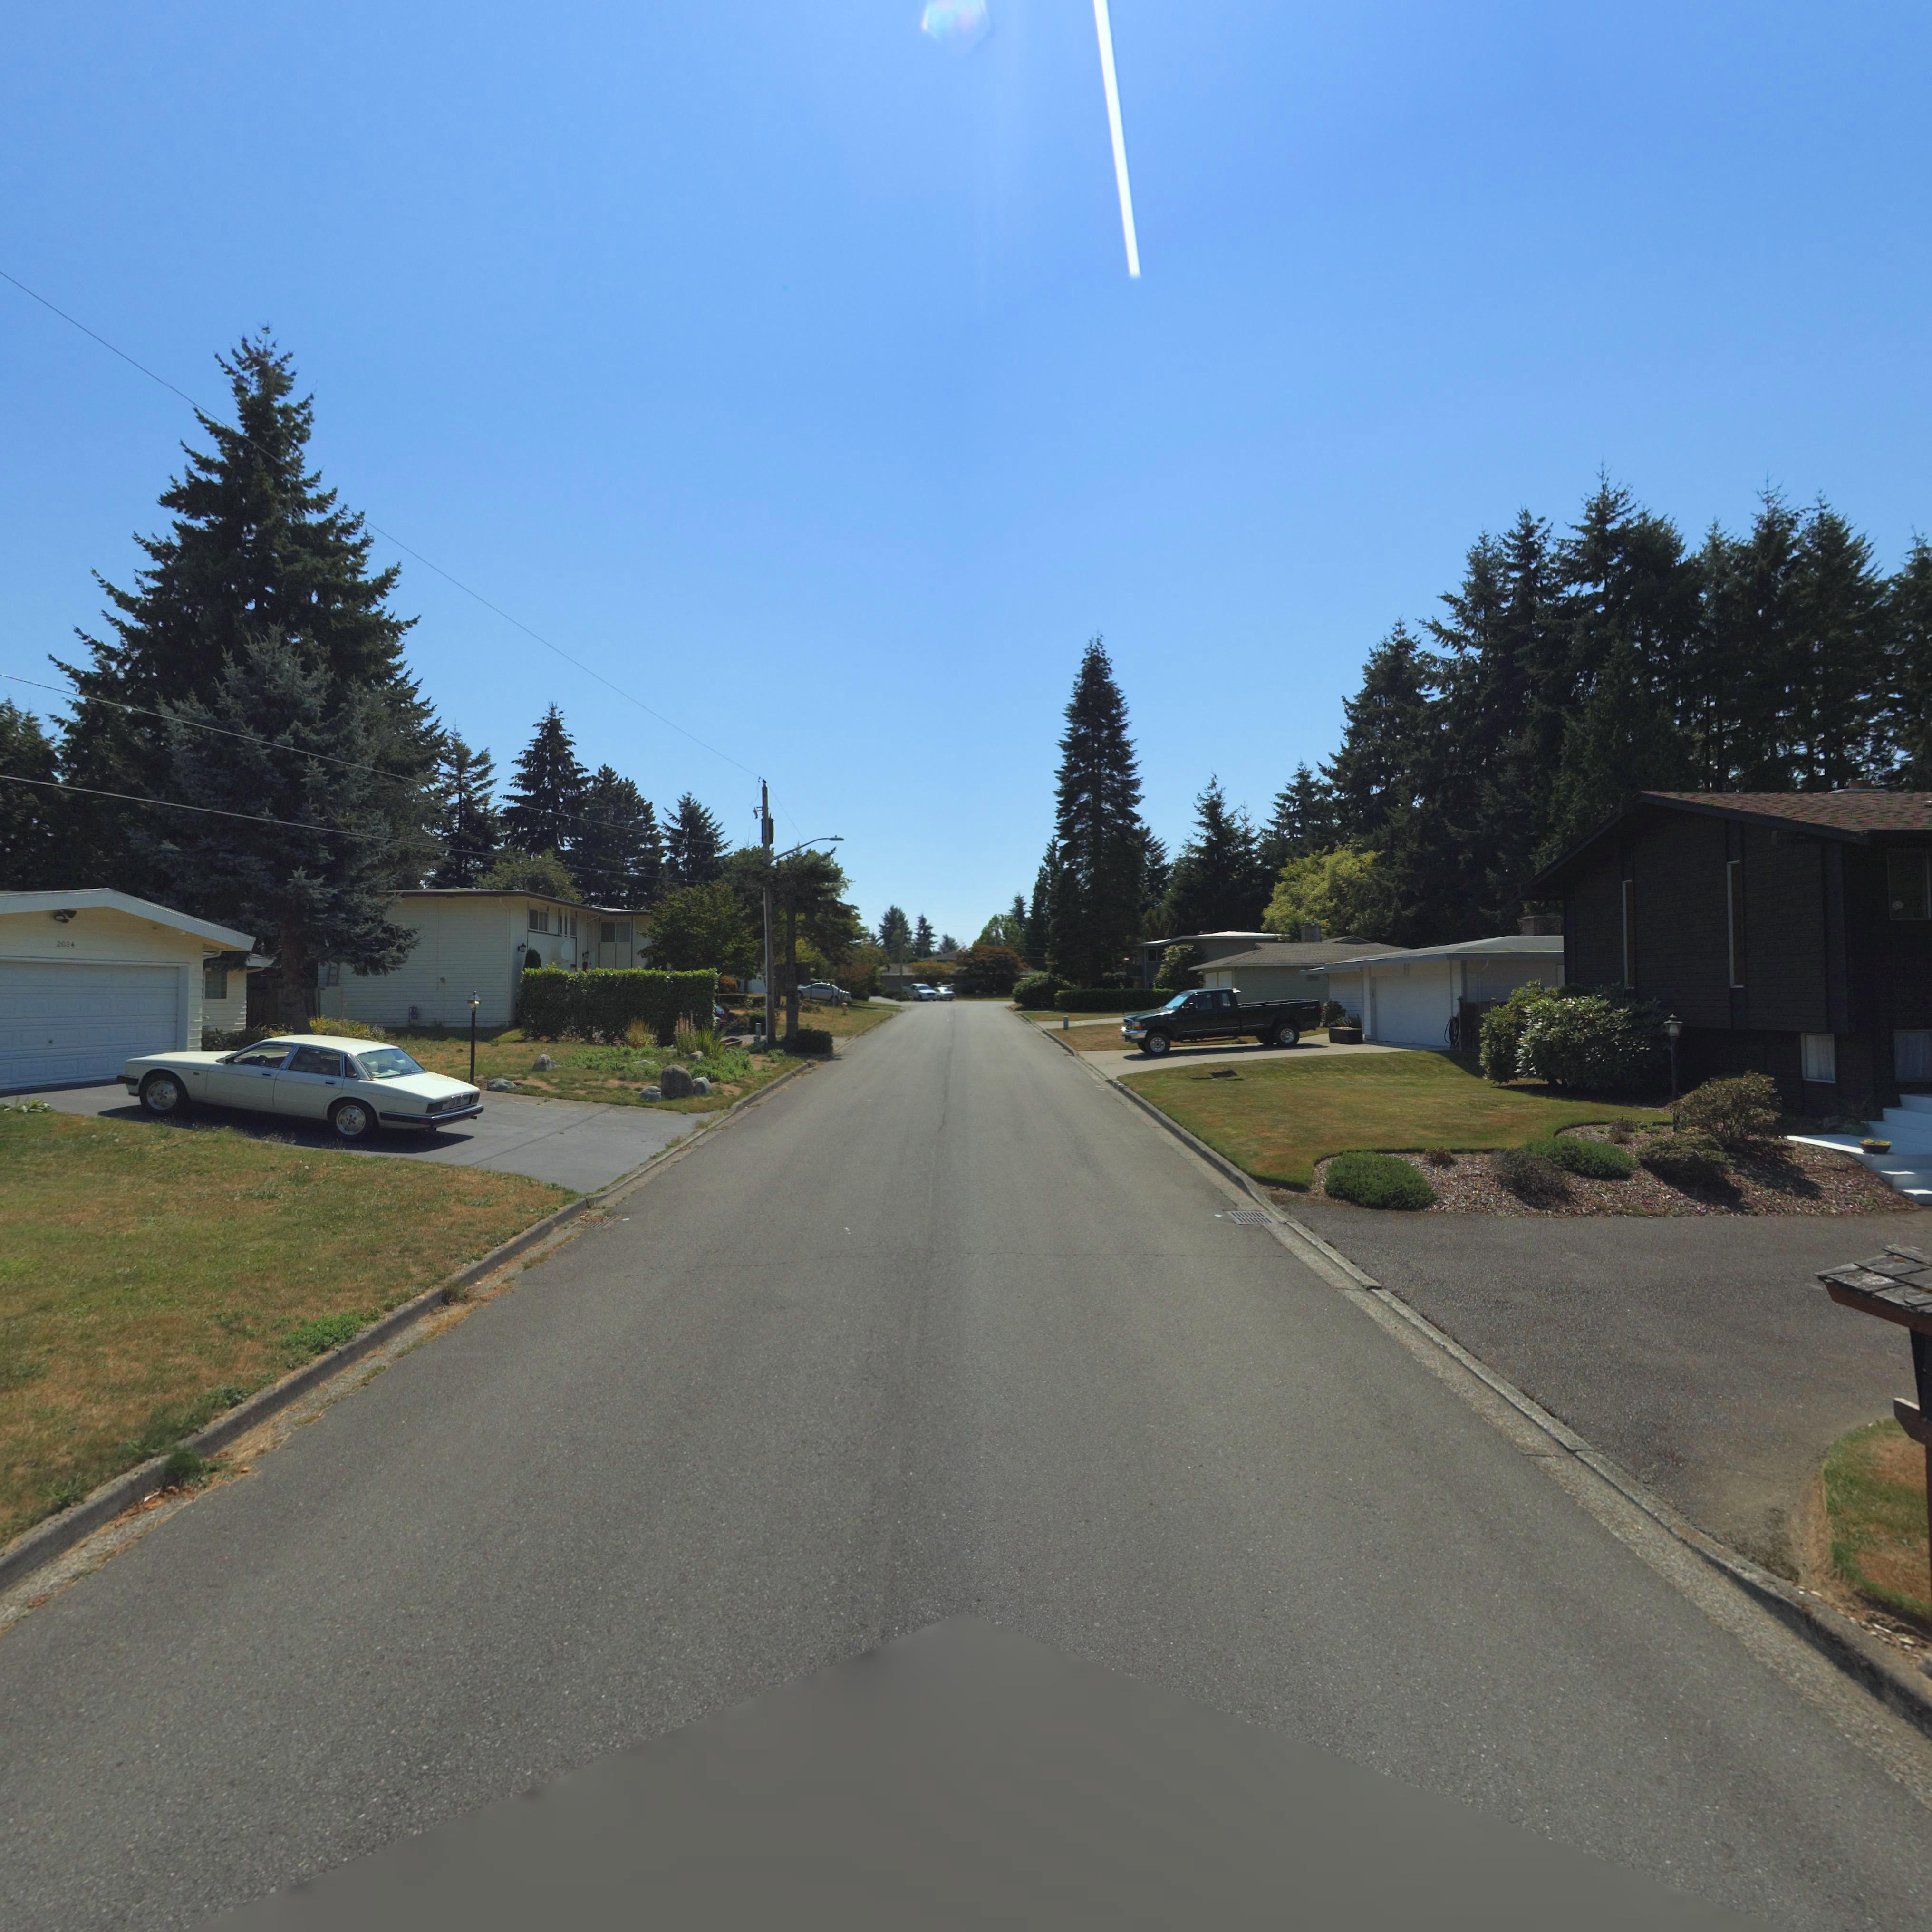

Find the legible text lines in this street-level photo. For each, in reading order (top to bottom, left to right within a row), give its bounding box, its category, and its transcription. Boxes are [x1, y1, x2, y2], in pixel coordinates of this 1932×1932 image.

[56, 940, 75, 949] StreetNumber: 2024